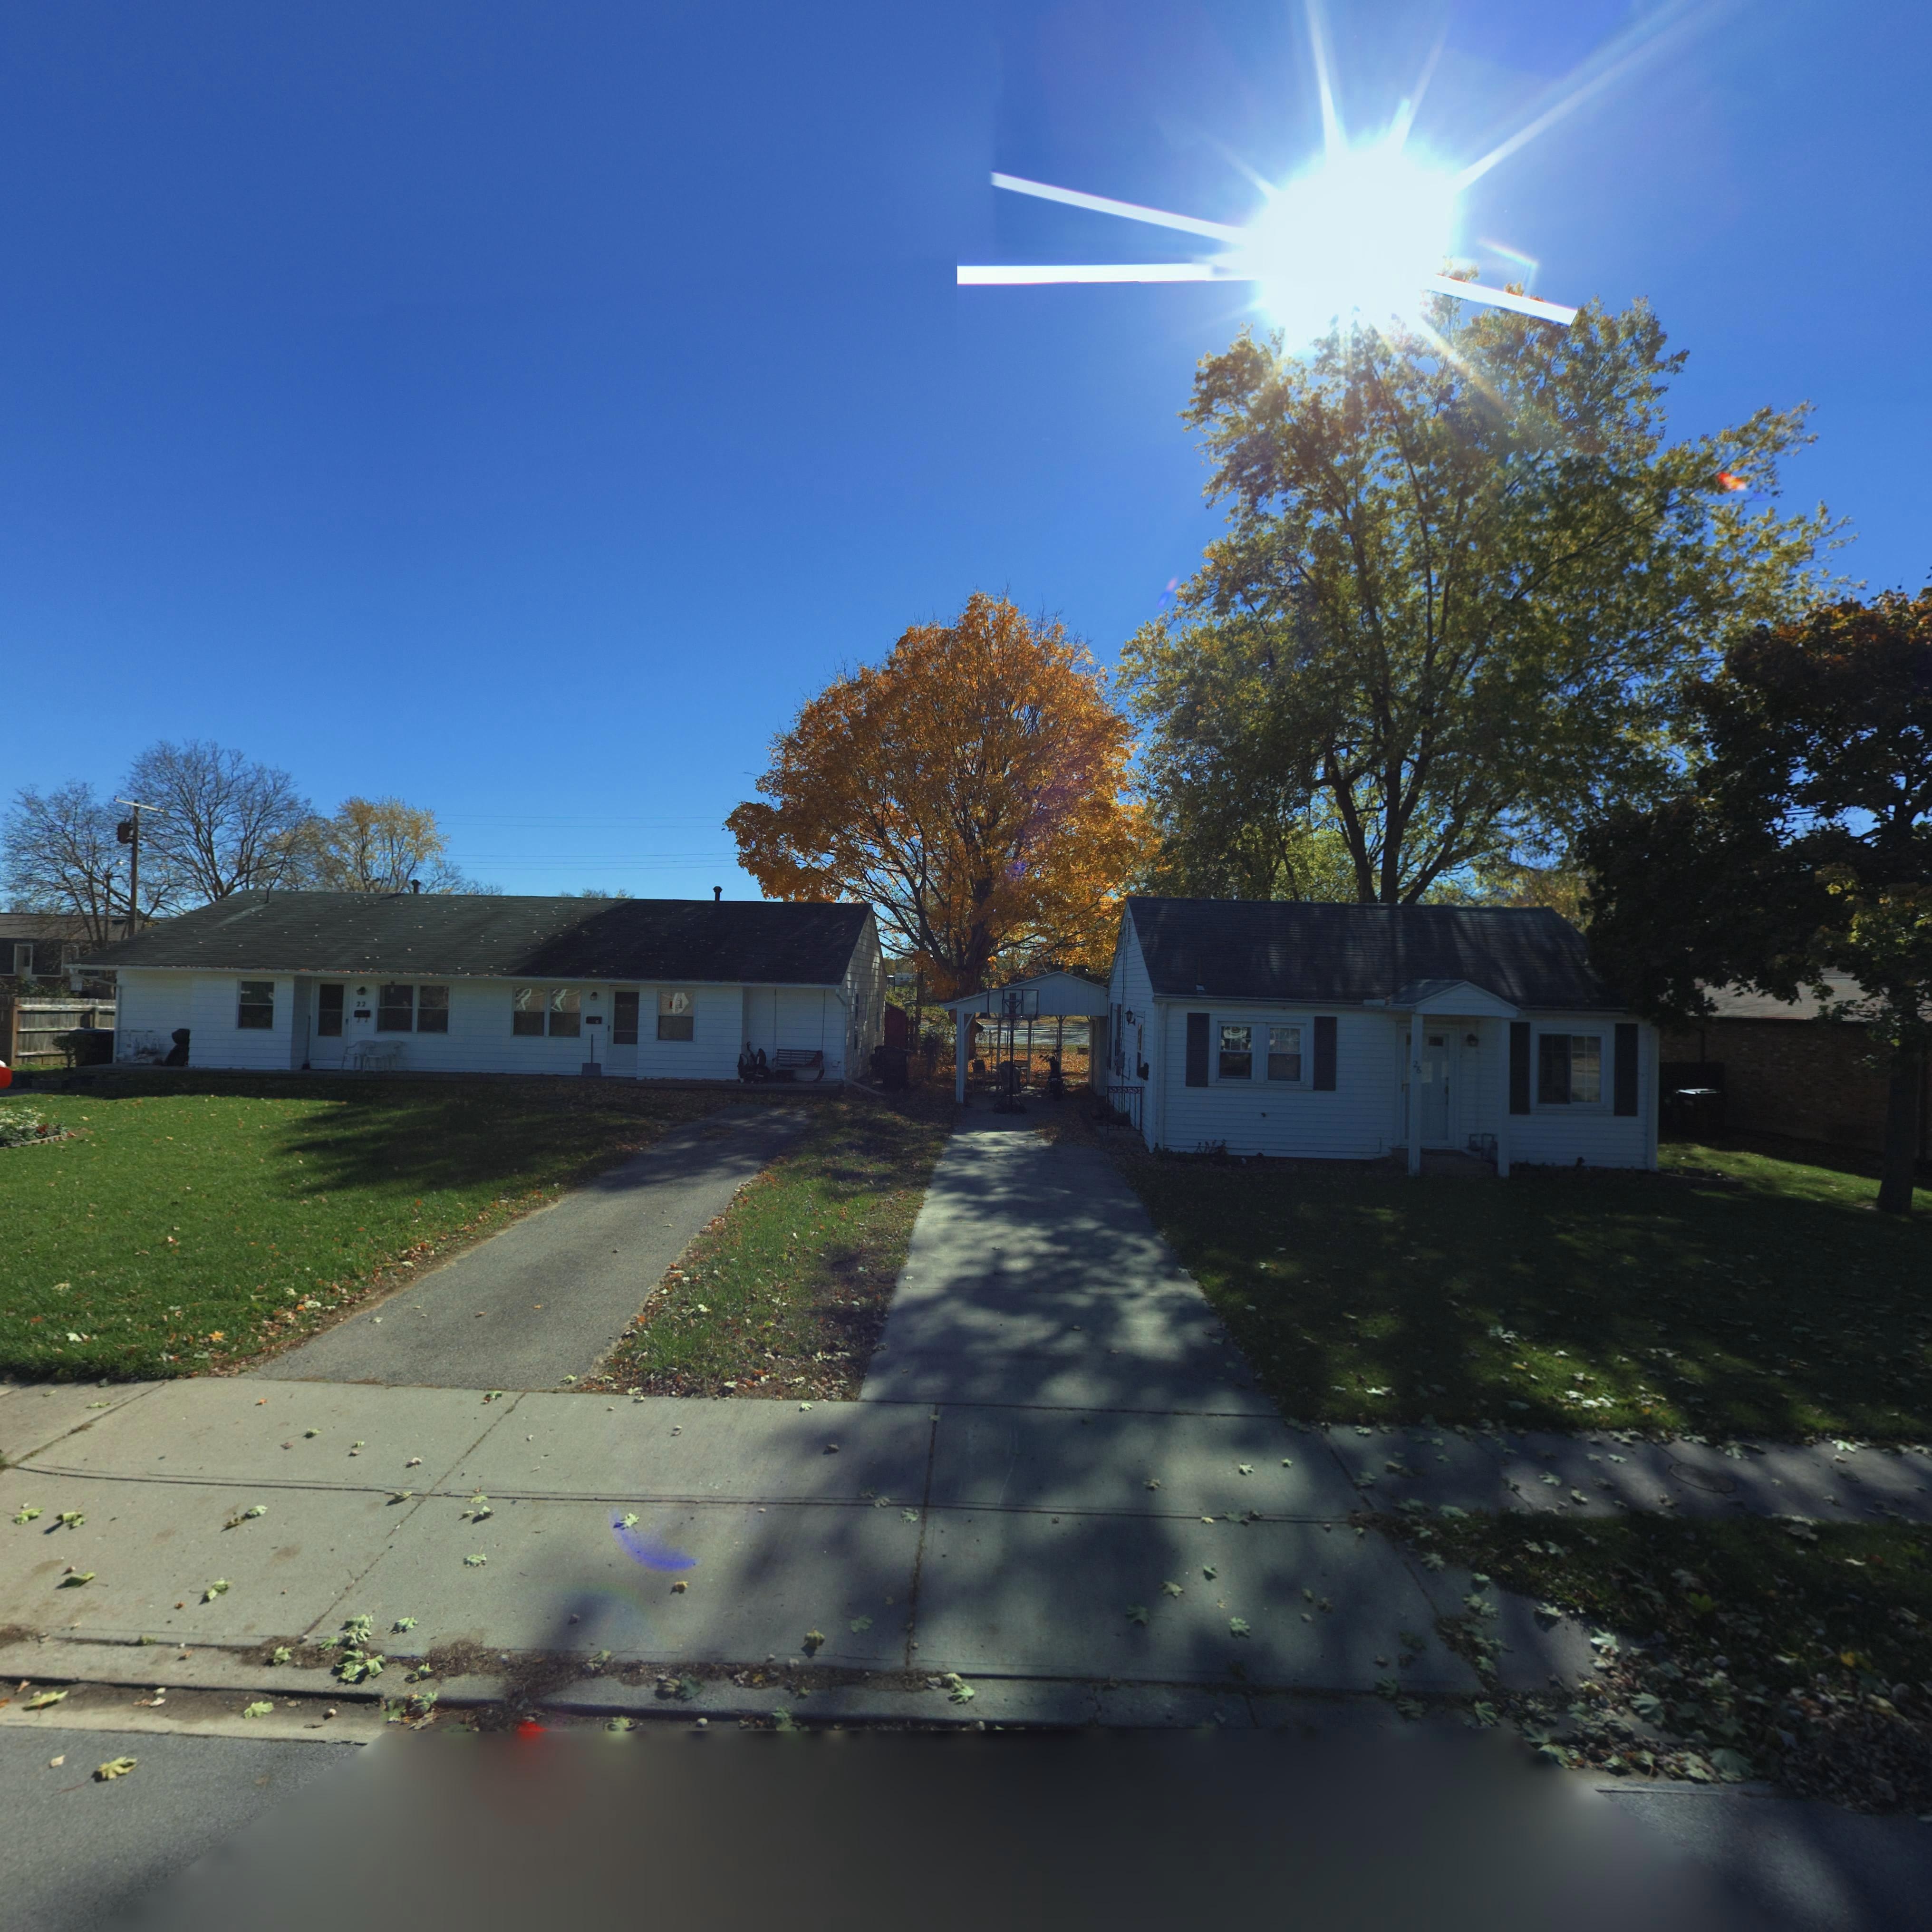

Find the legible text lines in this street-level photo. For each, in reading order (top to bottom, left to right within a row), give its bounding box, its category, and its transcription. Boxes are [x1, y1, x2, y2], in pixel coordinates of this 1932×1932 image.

[355, 1000, 367, 1008] StreetNumber: 22
[1412, 1059, 1423, 1075] StreetNumber: 26